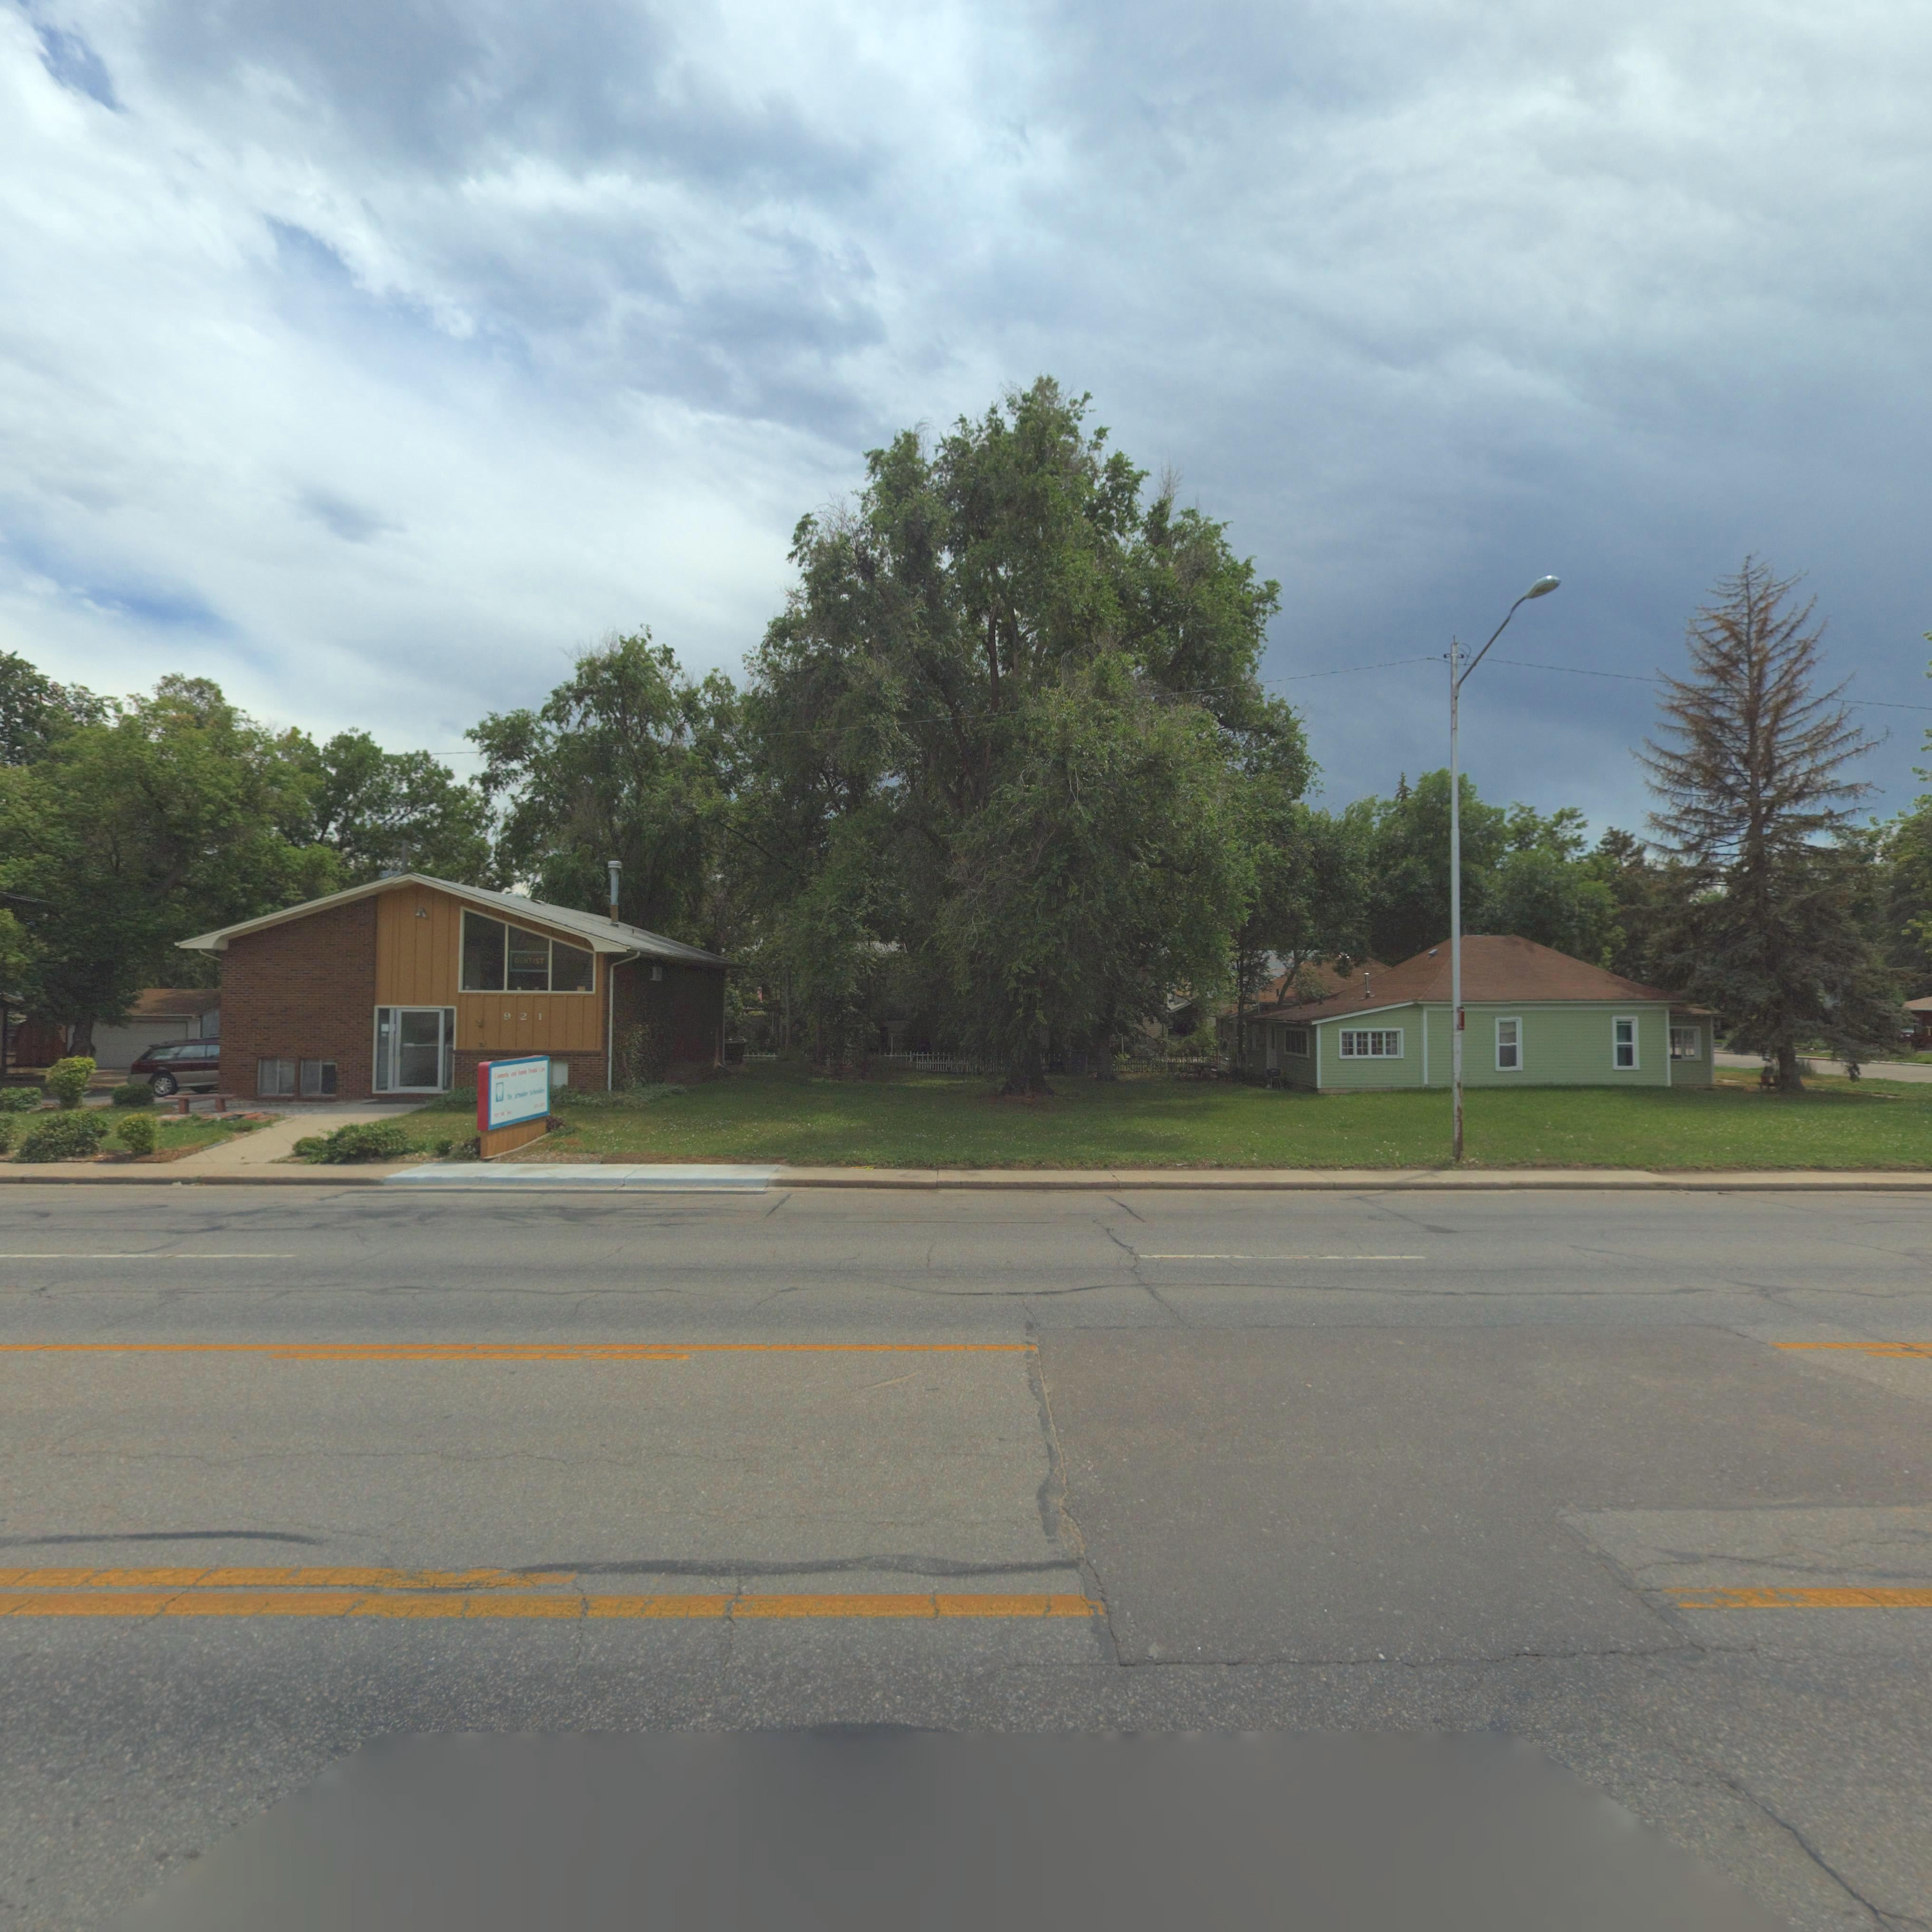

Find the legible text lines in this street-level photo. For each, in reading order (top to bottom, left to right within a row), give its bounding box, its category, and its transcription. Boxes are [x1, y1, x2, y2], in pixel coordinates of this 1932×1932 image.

[502, 1011, 542, 1021] StreetNumber: 921
[493, 1065, 546, 1080] BusinessName: Co*****c and F***ly D**t*l C***